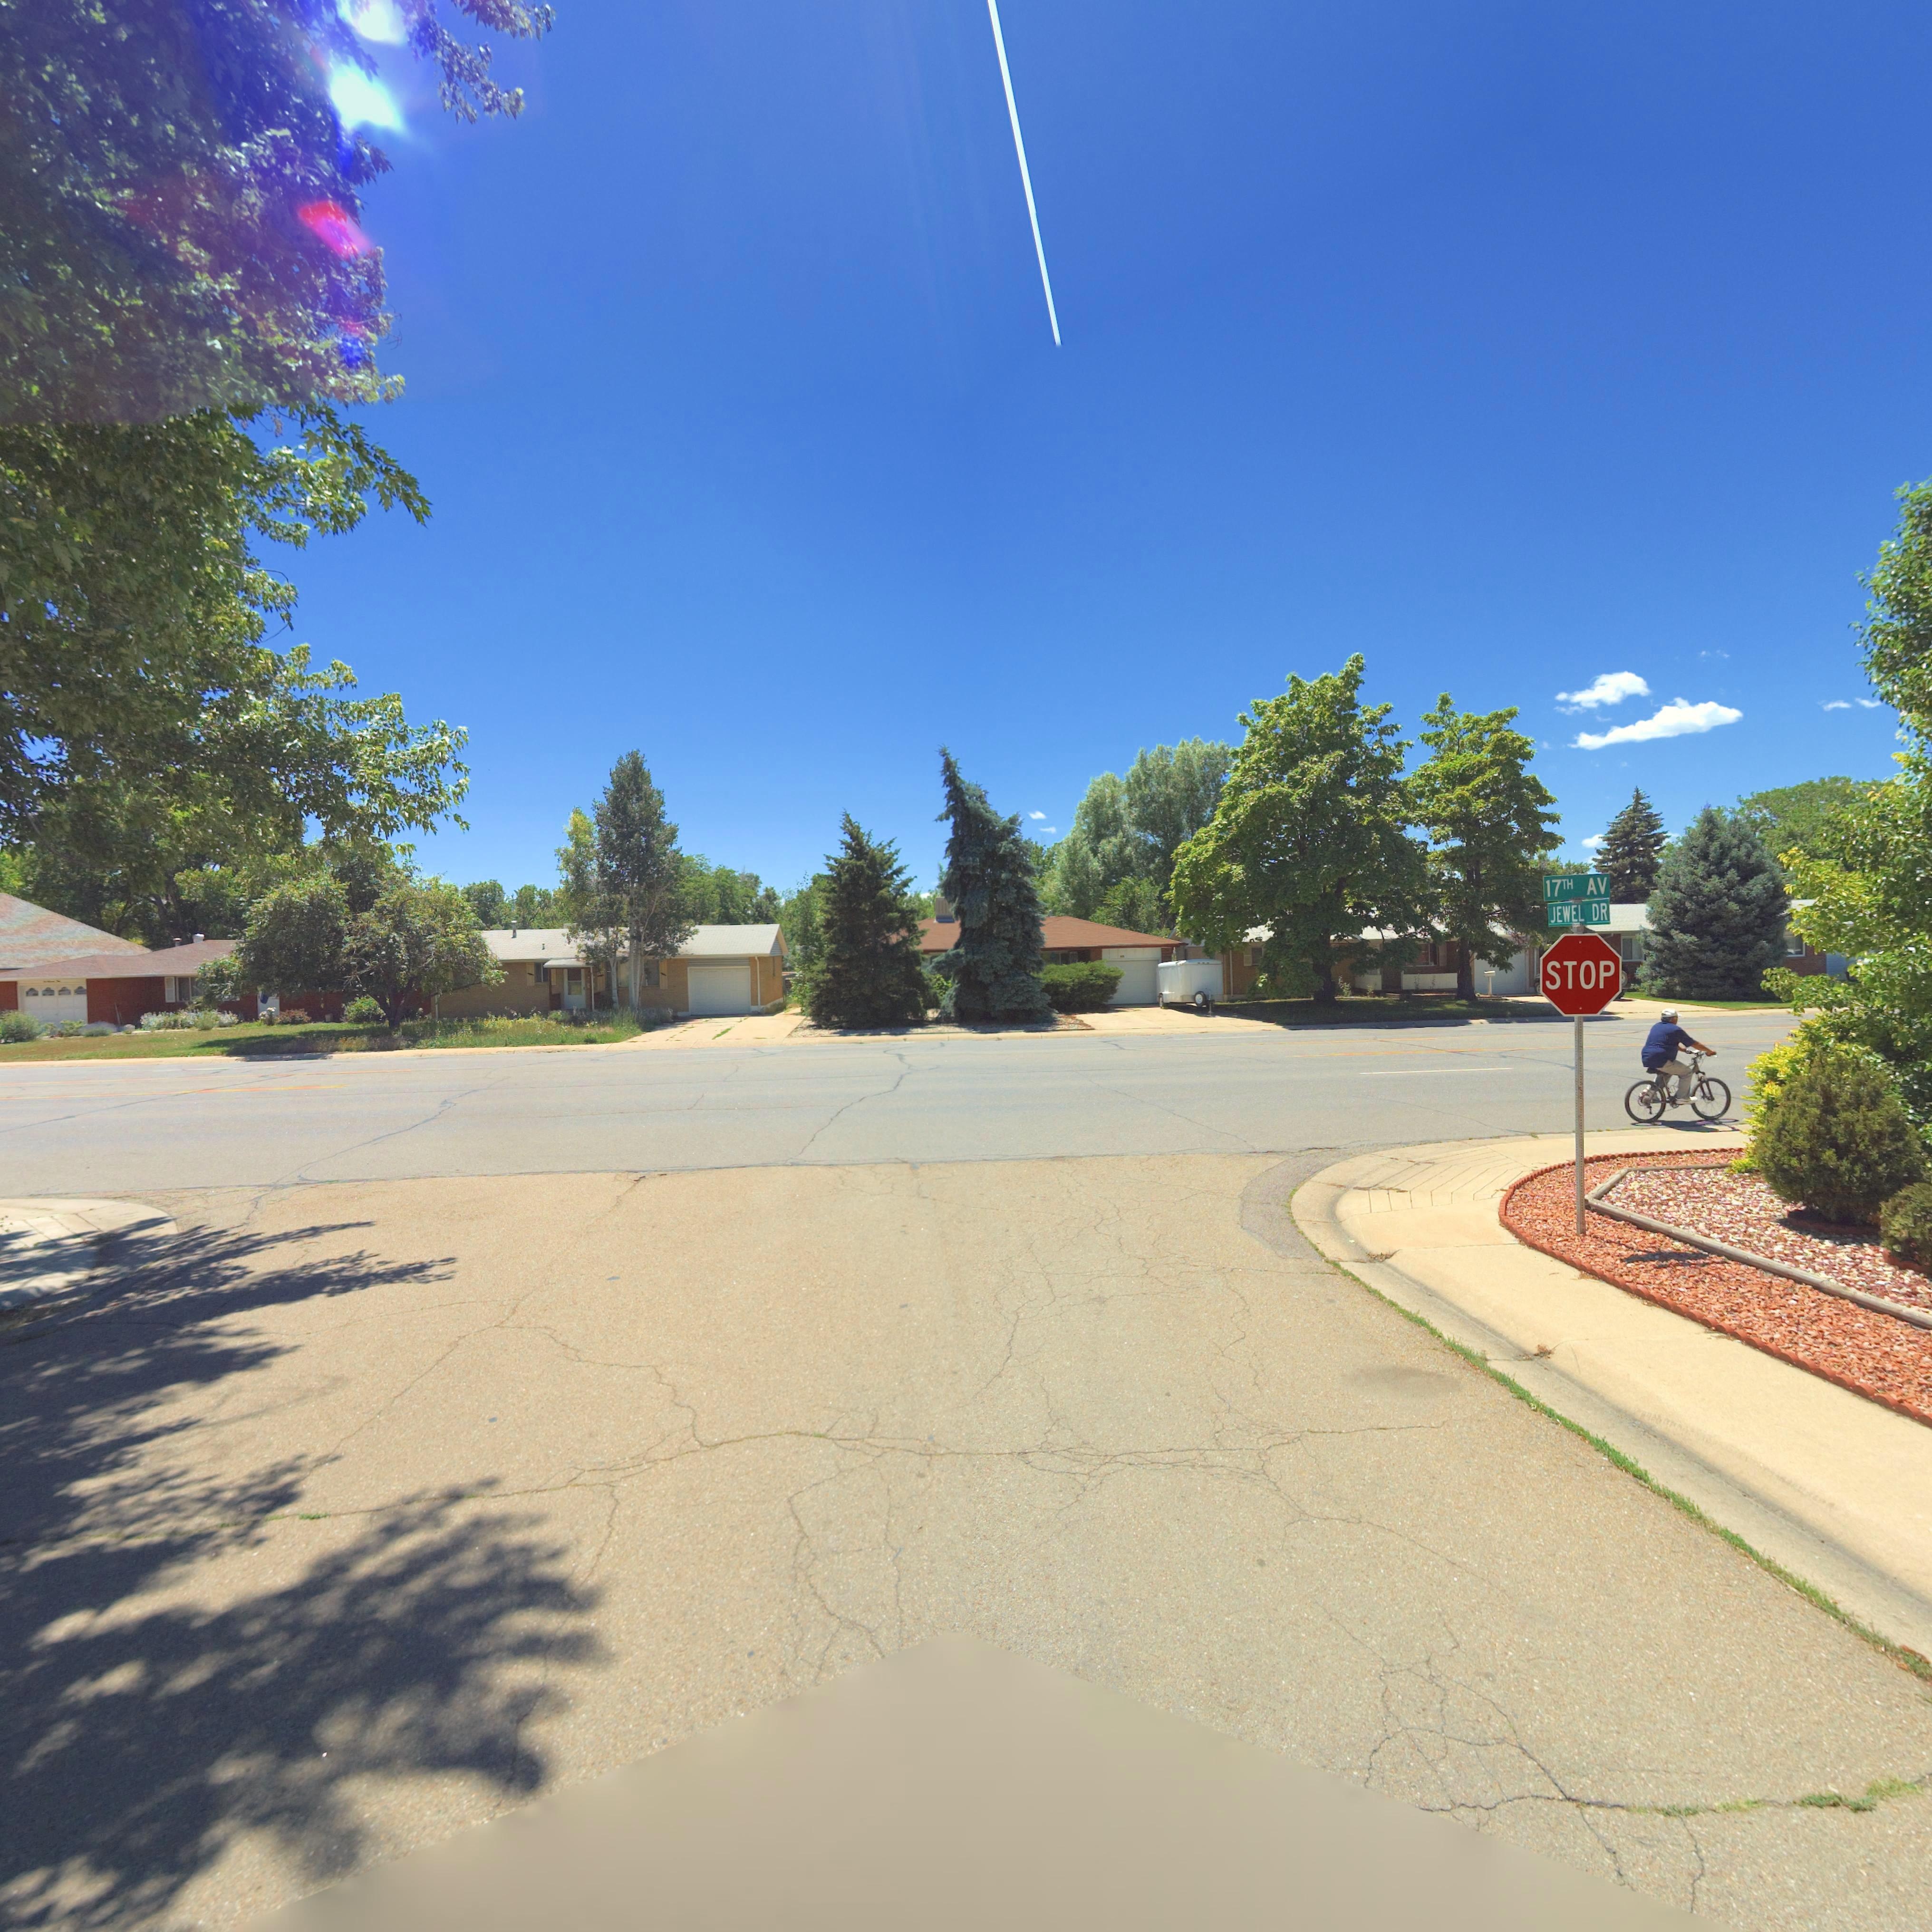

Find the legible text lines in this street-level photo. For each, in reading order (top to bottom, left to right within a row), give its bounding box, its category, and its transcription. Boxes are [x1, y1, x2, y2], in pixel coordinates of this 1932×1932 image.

[1545, 876, 1608, 898] StreetName: 17TH AV
[1550, 902, 1608, 923] StreetName: JEWEL DR